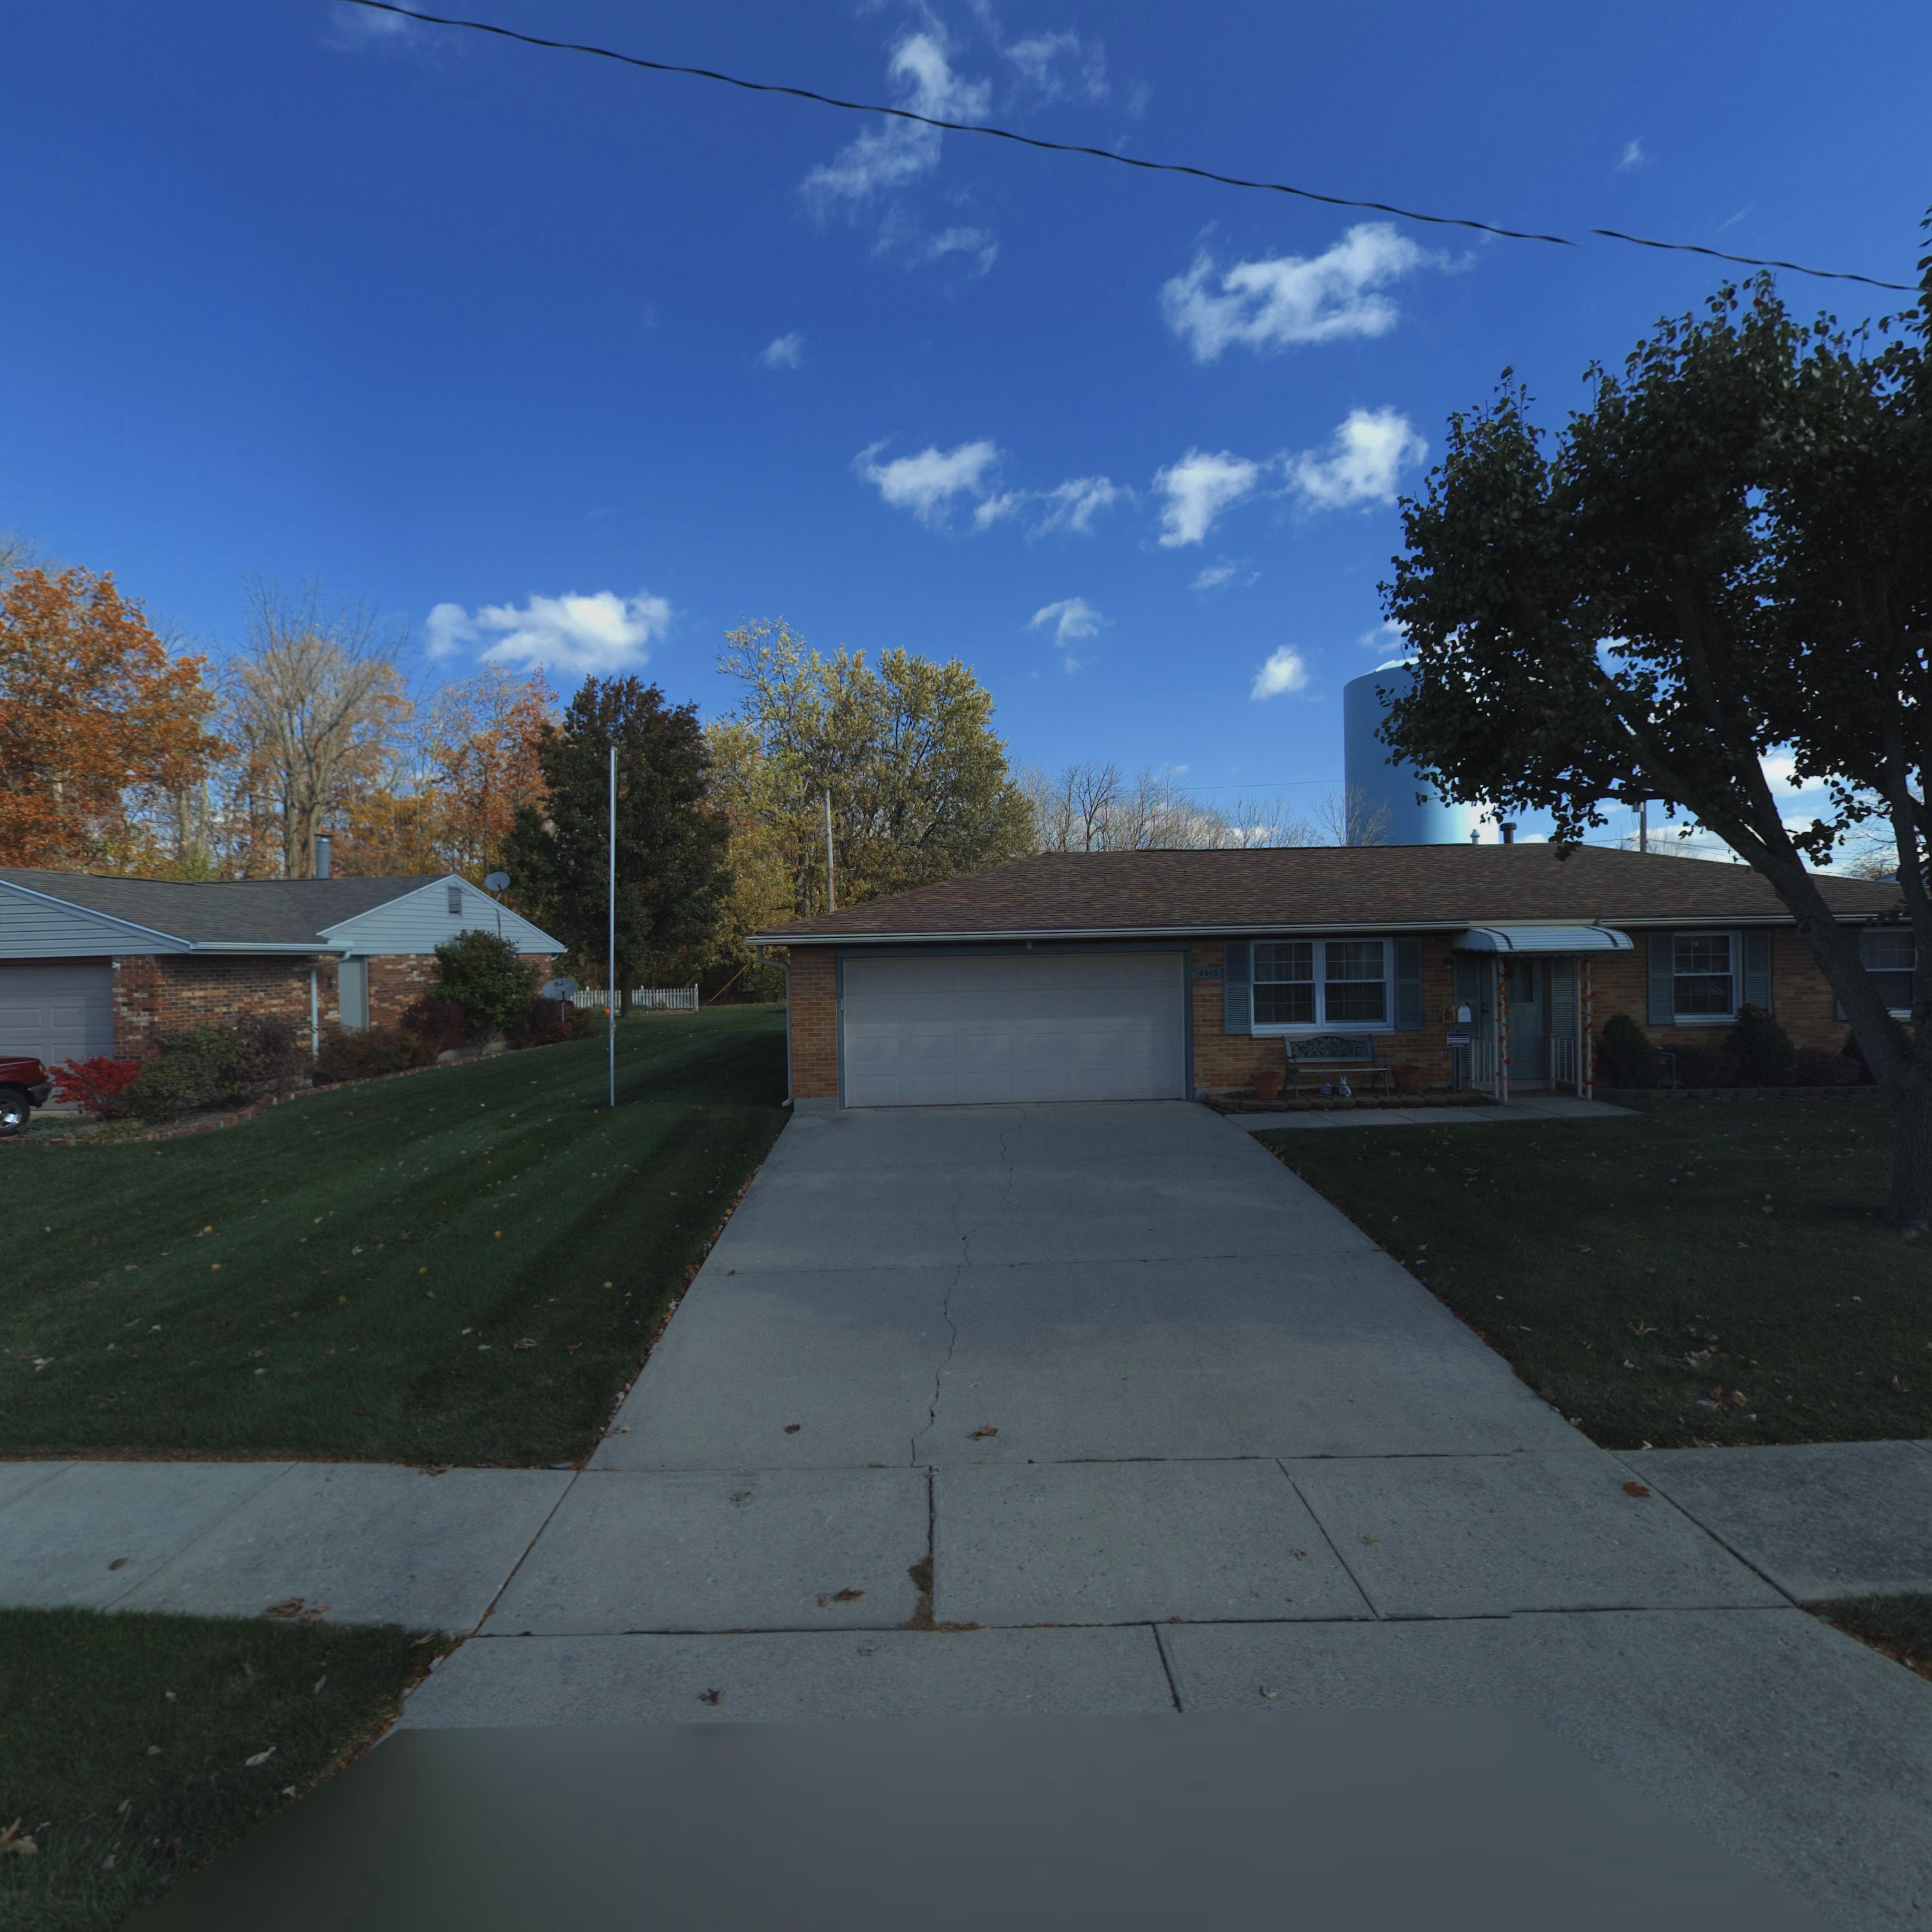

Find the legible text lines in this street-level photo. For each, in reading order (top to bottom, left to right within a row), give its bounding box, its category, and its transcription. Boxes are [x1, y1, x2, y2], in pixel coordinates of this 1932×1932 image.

[1199, 969, 1218, 977] StreetNumber: 6445